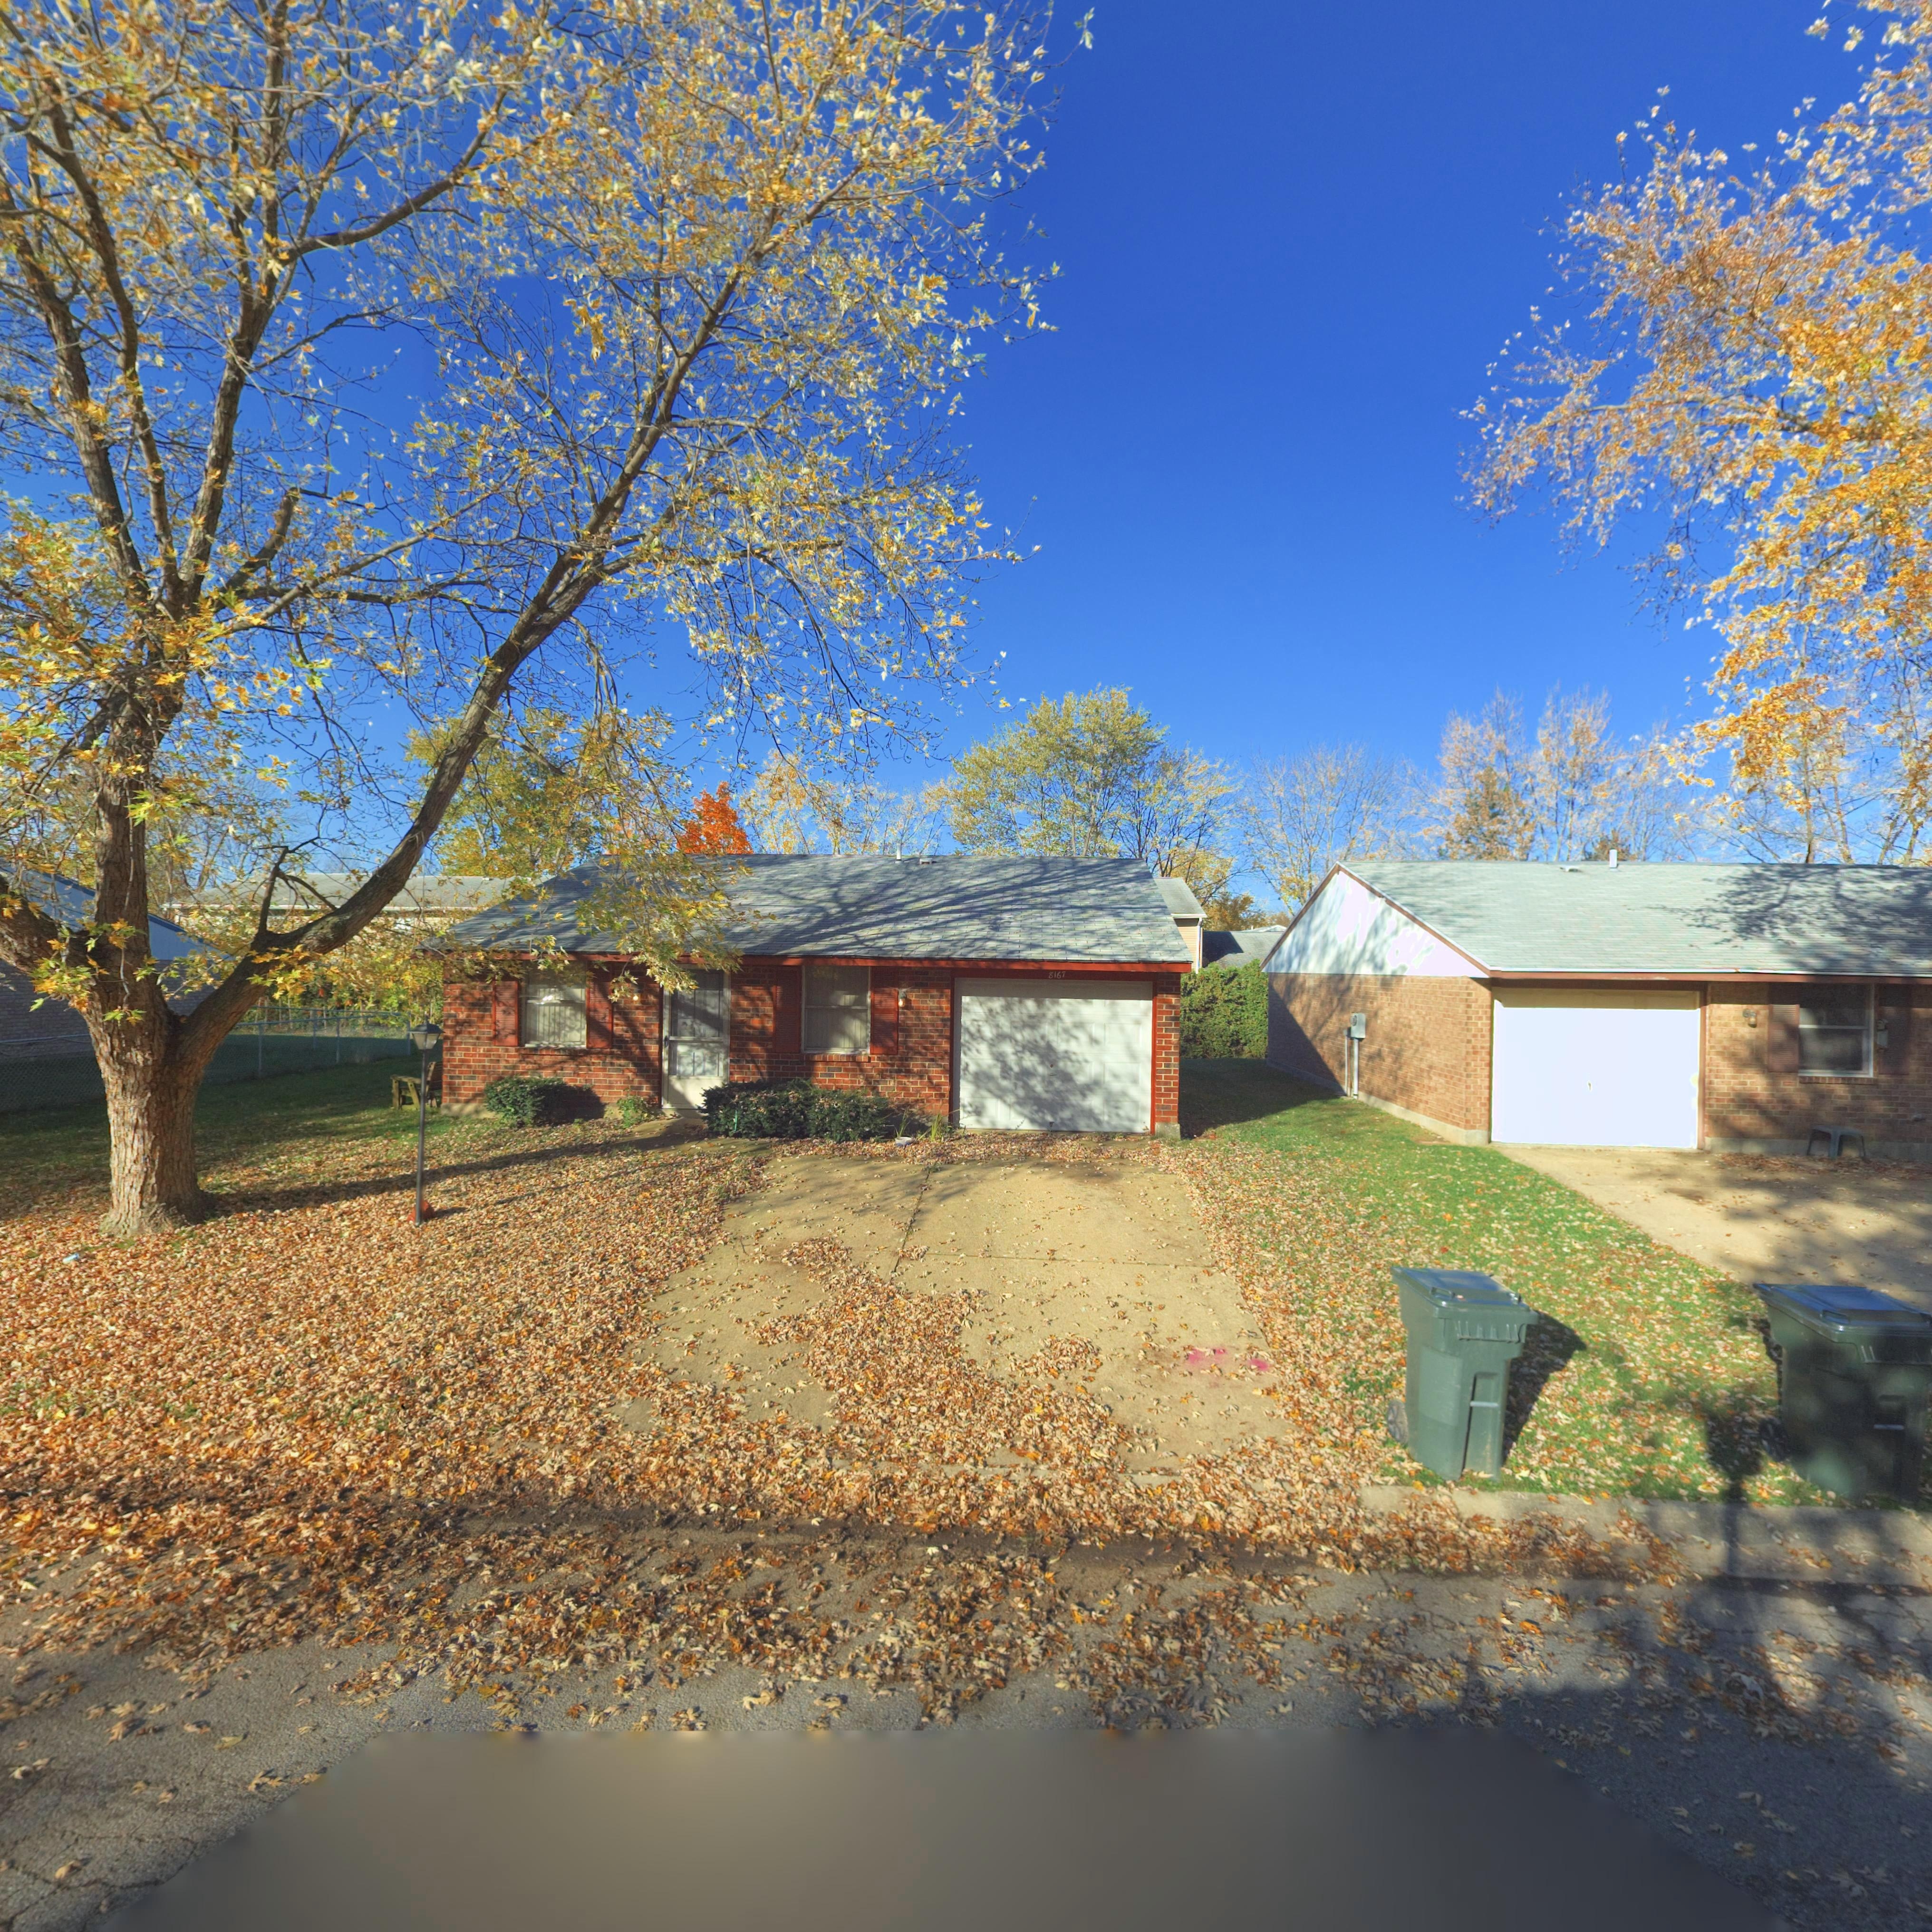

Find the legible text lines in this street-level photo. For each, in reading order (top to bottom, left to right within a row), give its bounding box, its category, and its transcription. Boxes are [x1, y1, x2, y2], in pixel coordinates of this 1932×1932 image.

[1048, 970, 1067, 980] StreetNumber: 8167